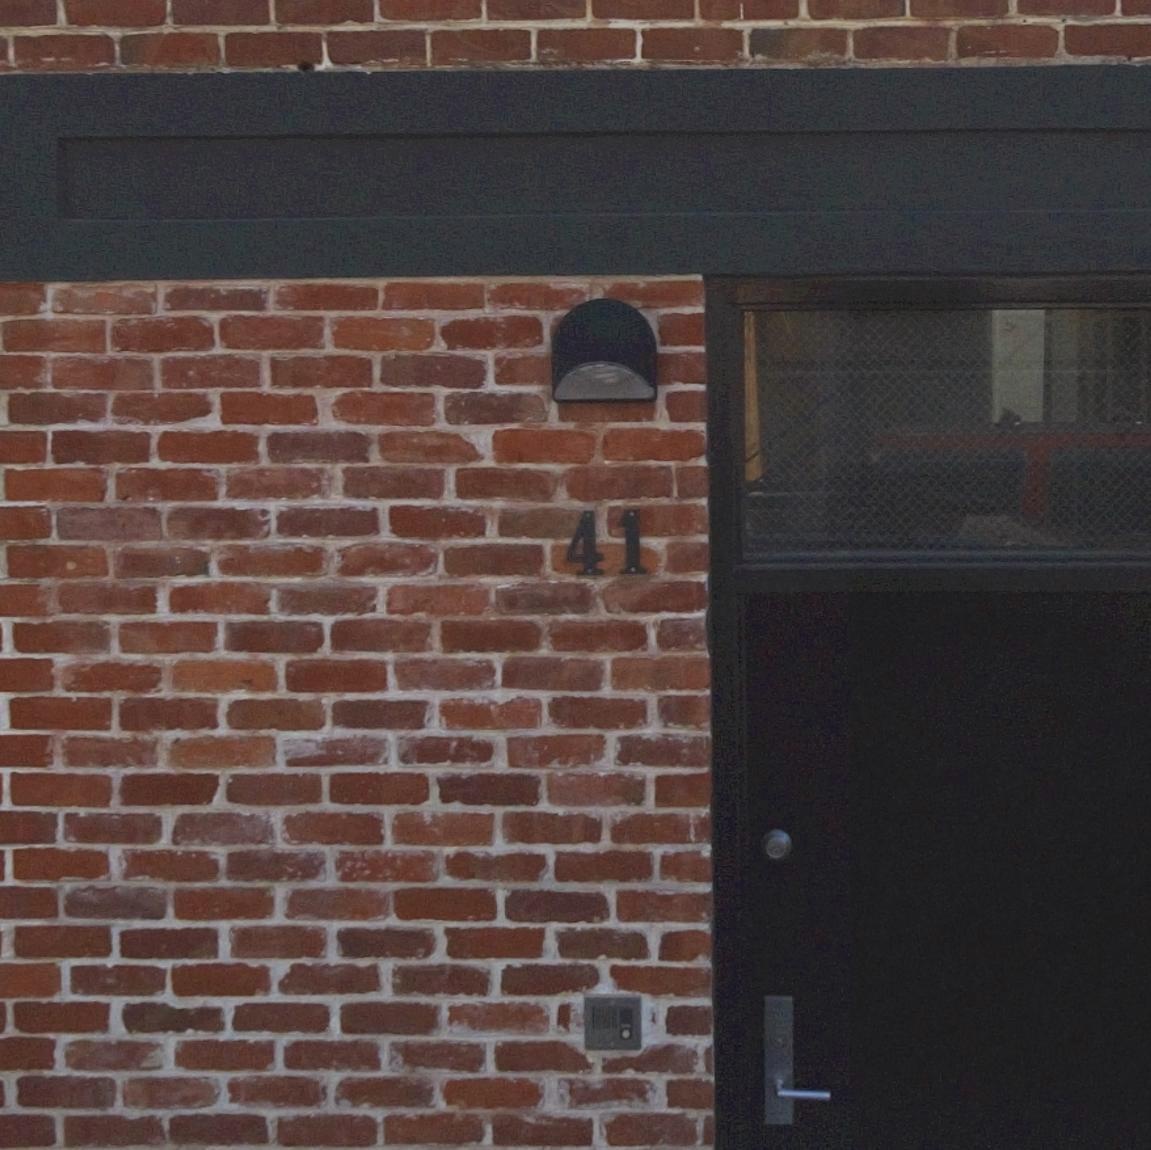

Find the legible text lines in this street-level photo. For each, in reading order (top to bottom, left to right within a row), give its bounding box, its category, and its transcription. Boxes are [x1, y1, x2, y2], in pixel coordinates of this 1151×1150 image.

[555, 504, 655, 581] StreetNumber: 41